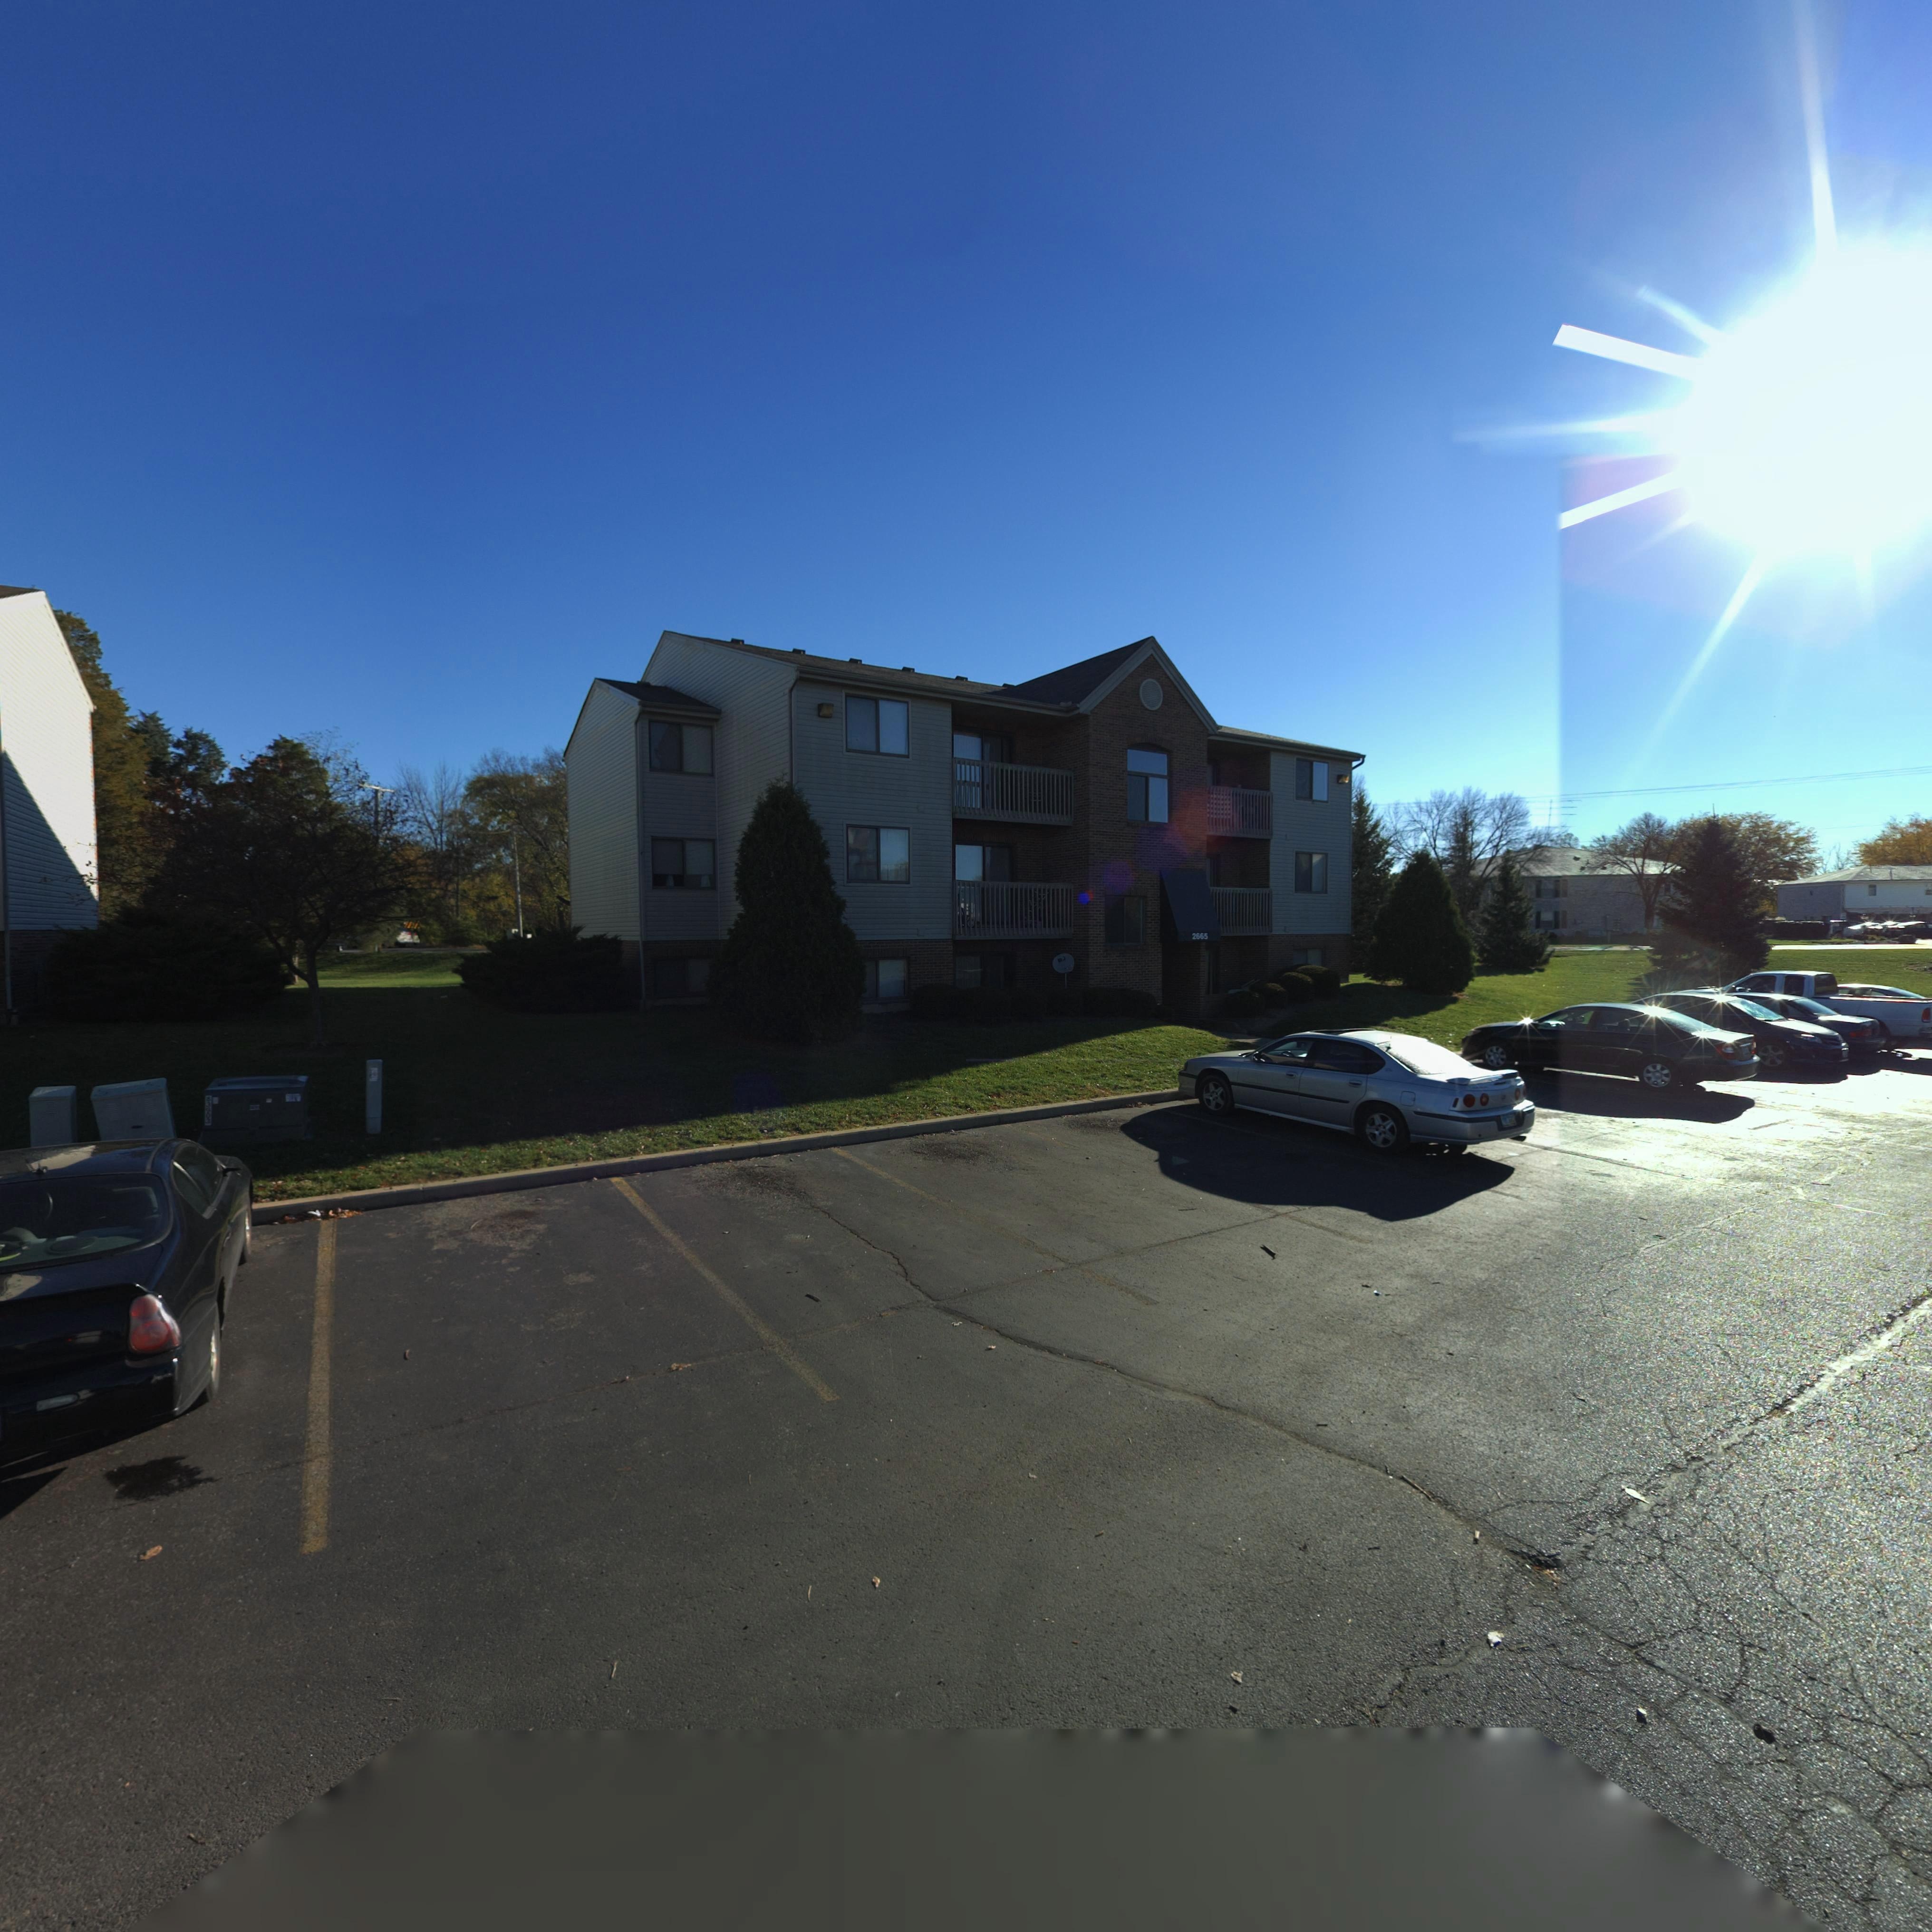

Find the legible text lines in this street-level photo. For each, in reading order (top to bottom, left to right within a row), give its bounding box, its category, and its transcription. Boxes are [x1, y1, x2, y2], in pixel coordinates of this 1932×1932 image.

[1192, 932, 1208, 940] StreetNumber: 2665